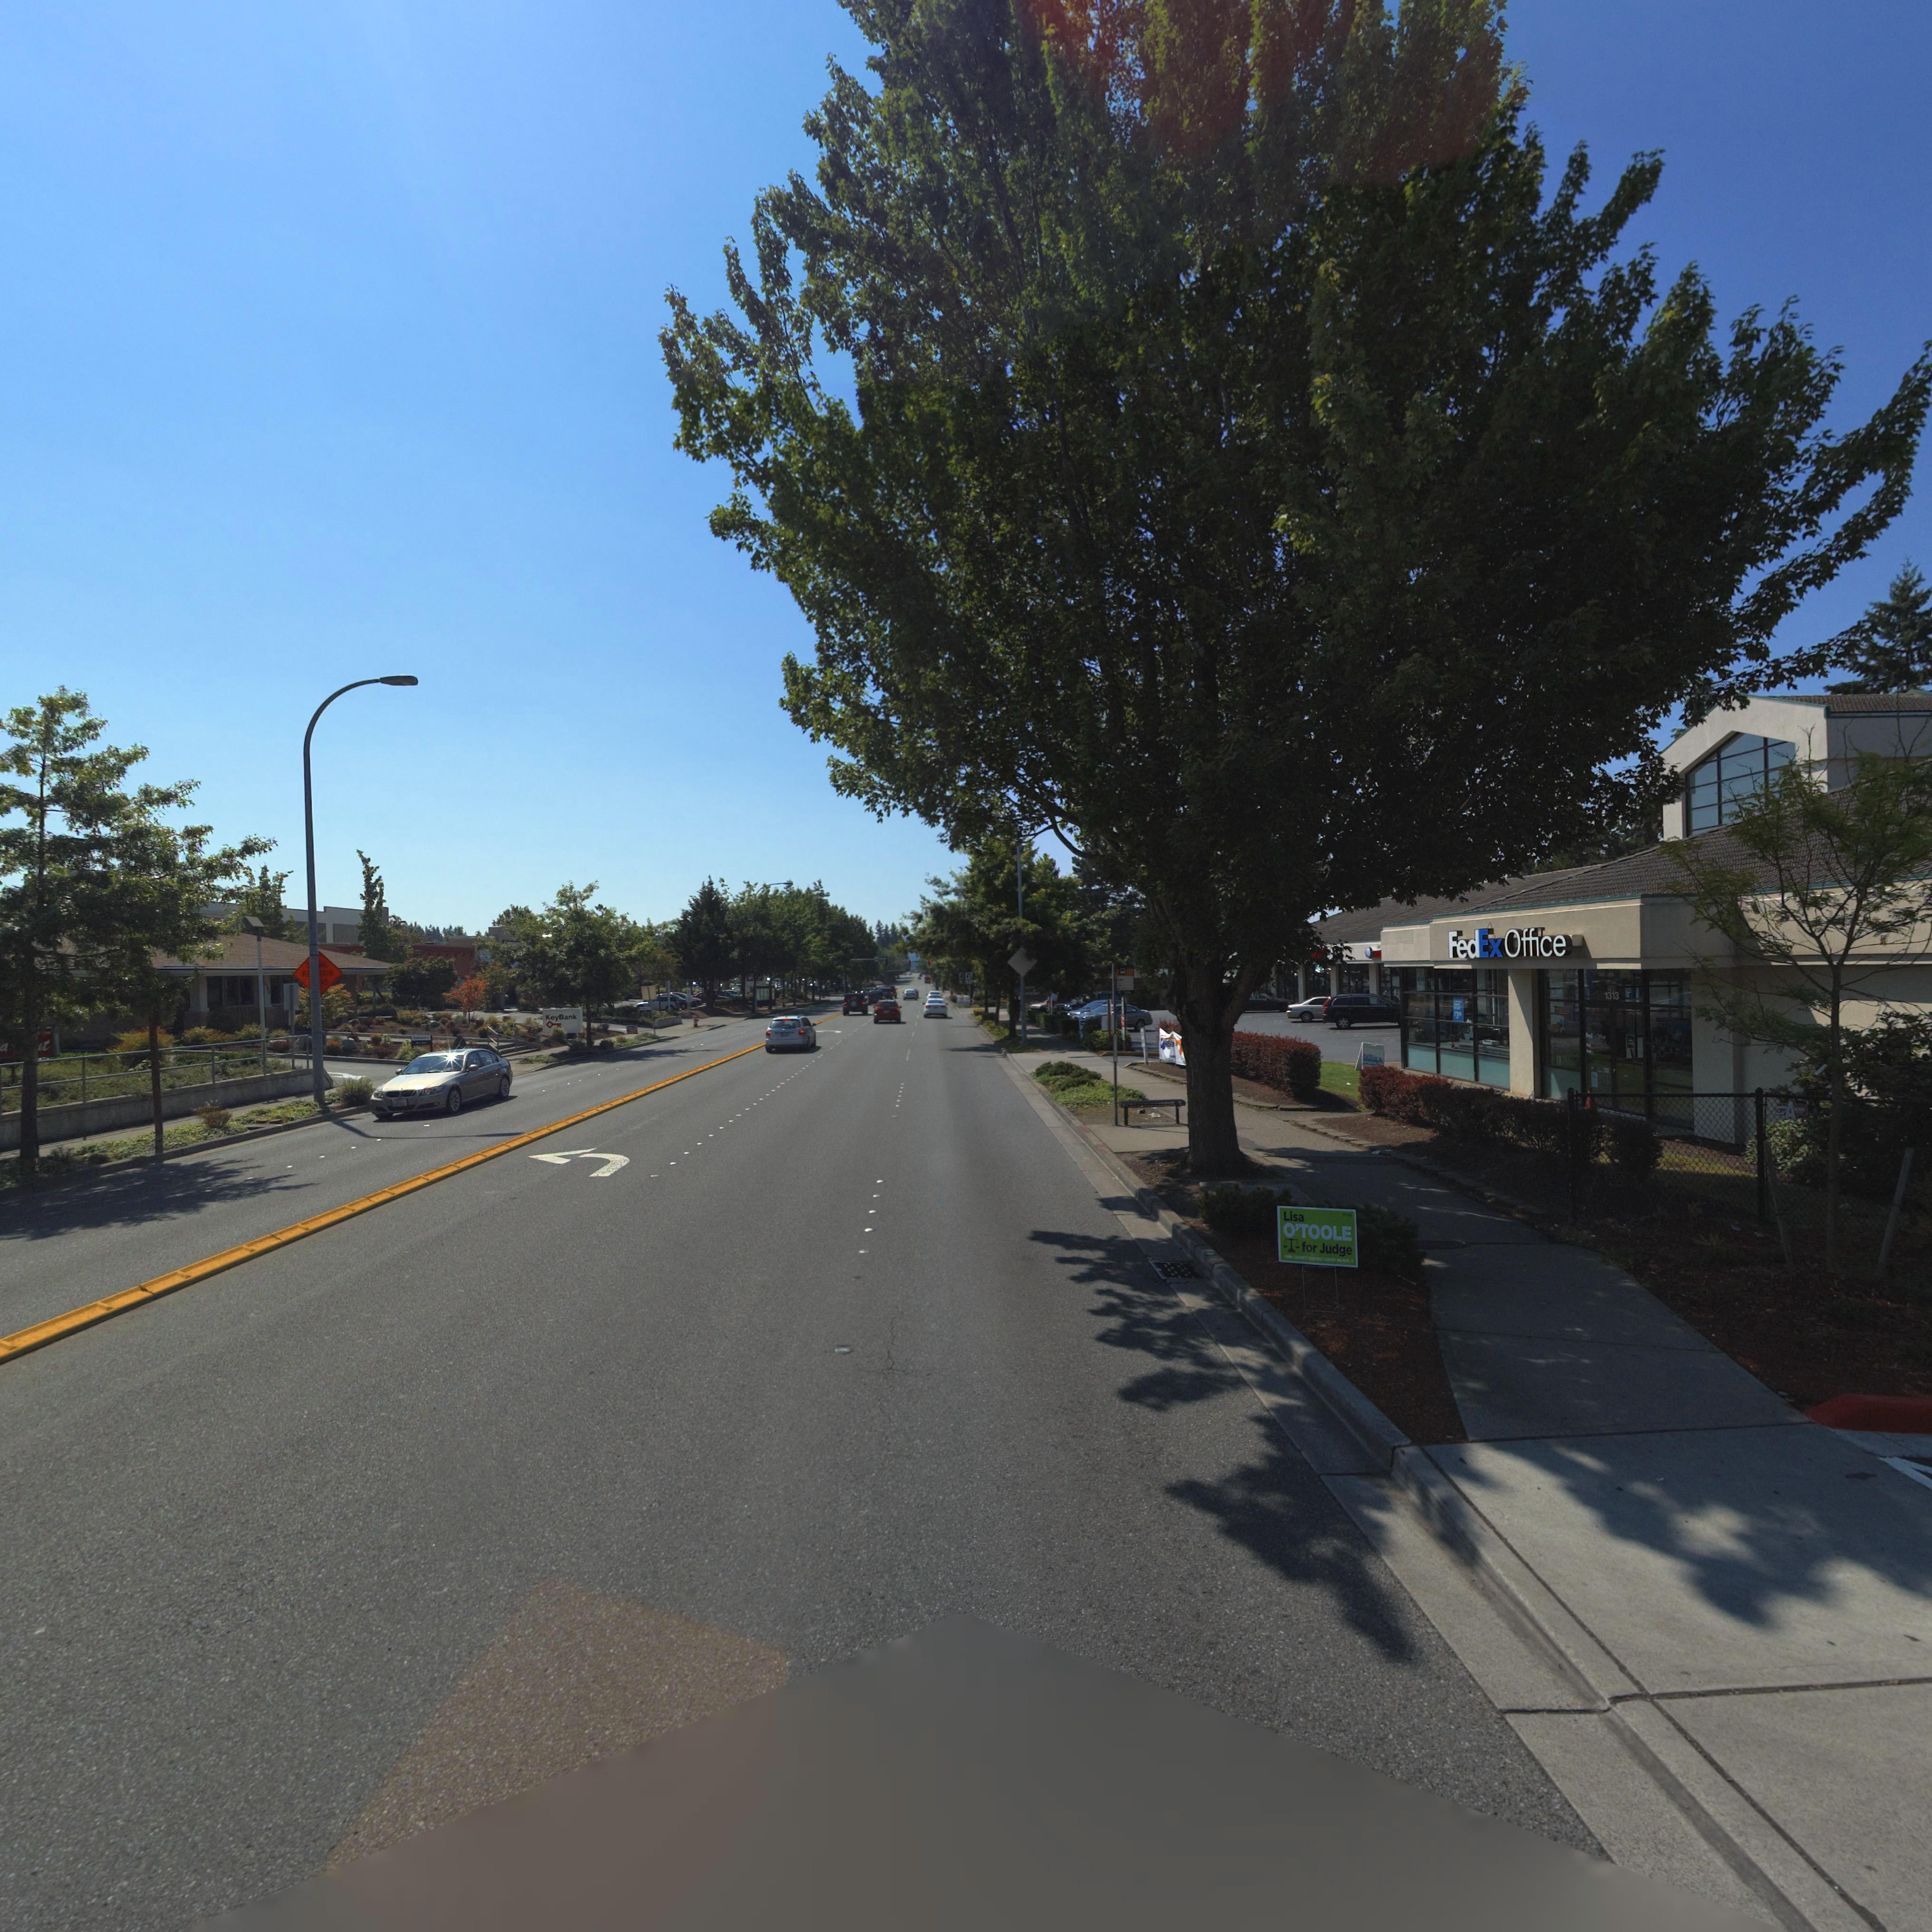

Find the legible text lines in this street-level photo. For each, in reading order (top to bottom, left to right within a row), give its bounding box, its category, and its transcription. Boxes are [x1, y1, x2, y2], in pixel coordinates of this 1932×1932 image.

[1447, 926, 1572, 959] BusinessName: FedEx Office
[1604, 991, 1619, 1000] StreetNumber: 1313